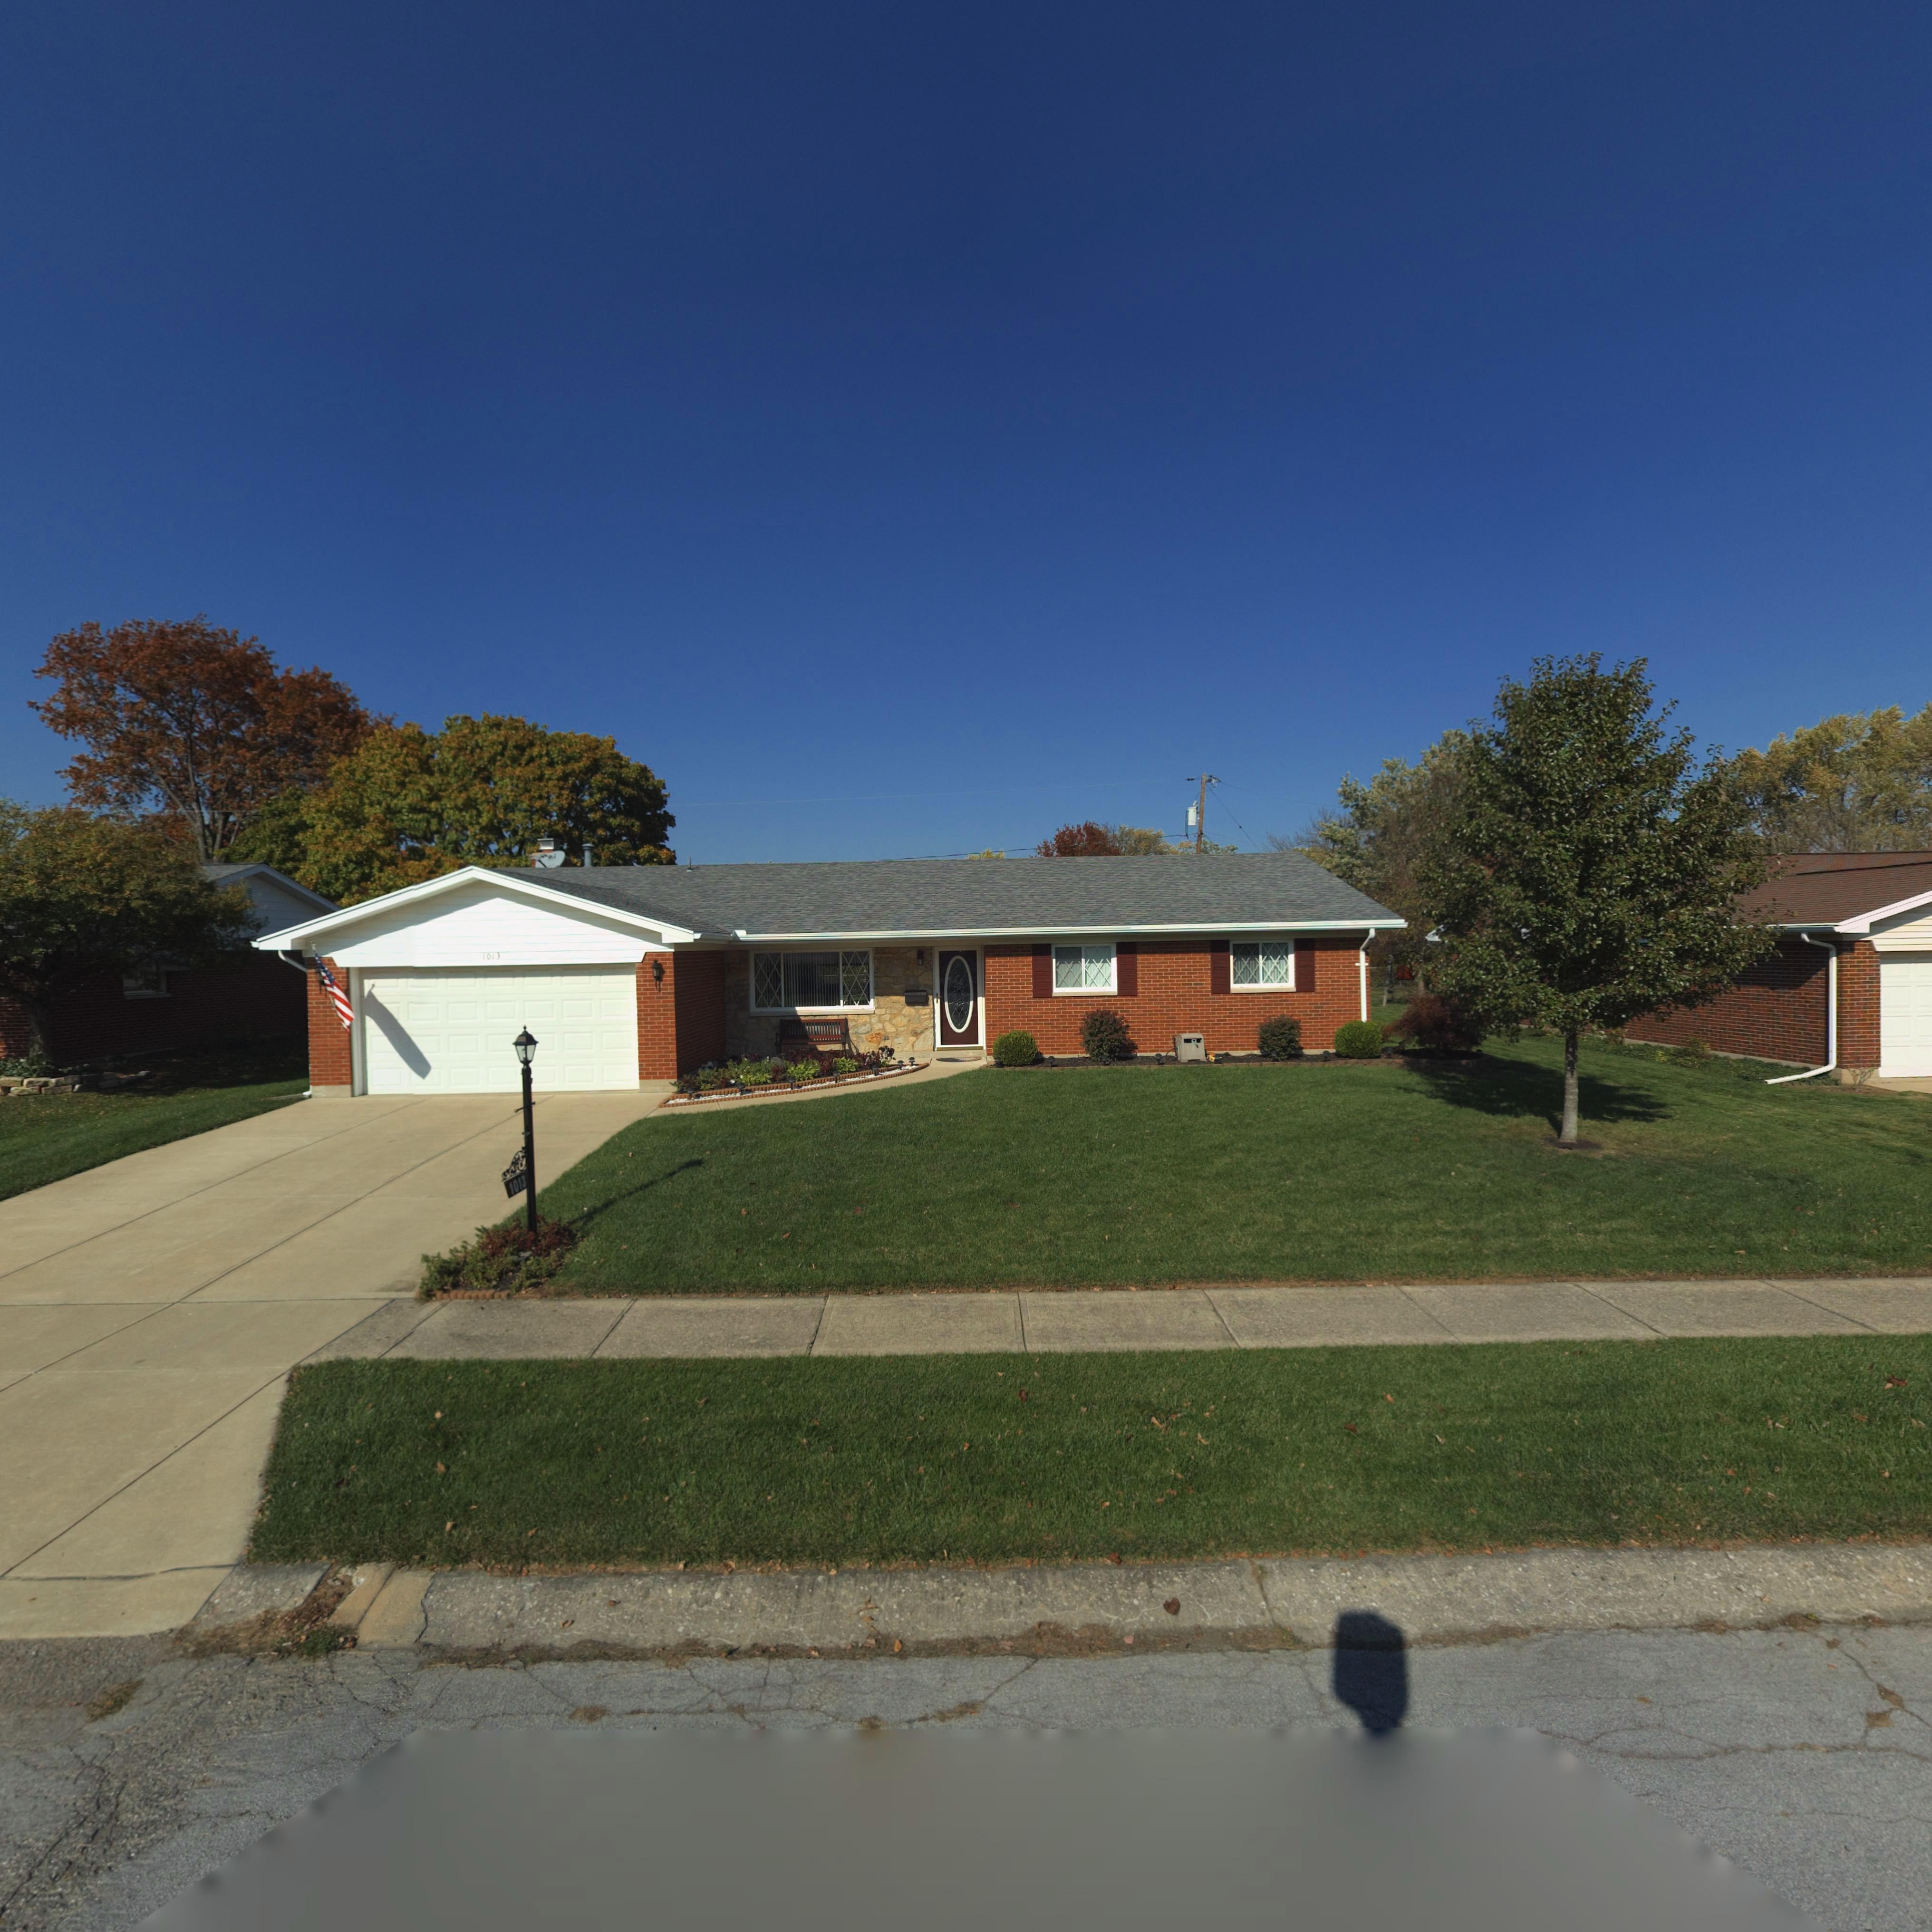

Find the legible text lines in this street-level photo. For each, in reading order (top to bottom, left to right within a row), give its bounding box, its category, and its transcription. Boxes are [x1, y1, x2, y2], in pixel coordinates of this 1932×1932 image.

[482, 952, 501, 960] StreetNumber: 1013
[507, 1173, 527, 1196] StreetNumber: 1013